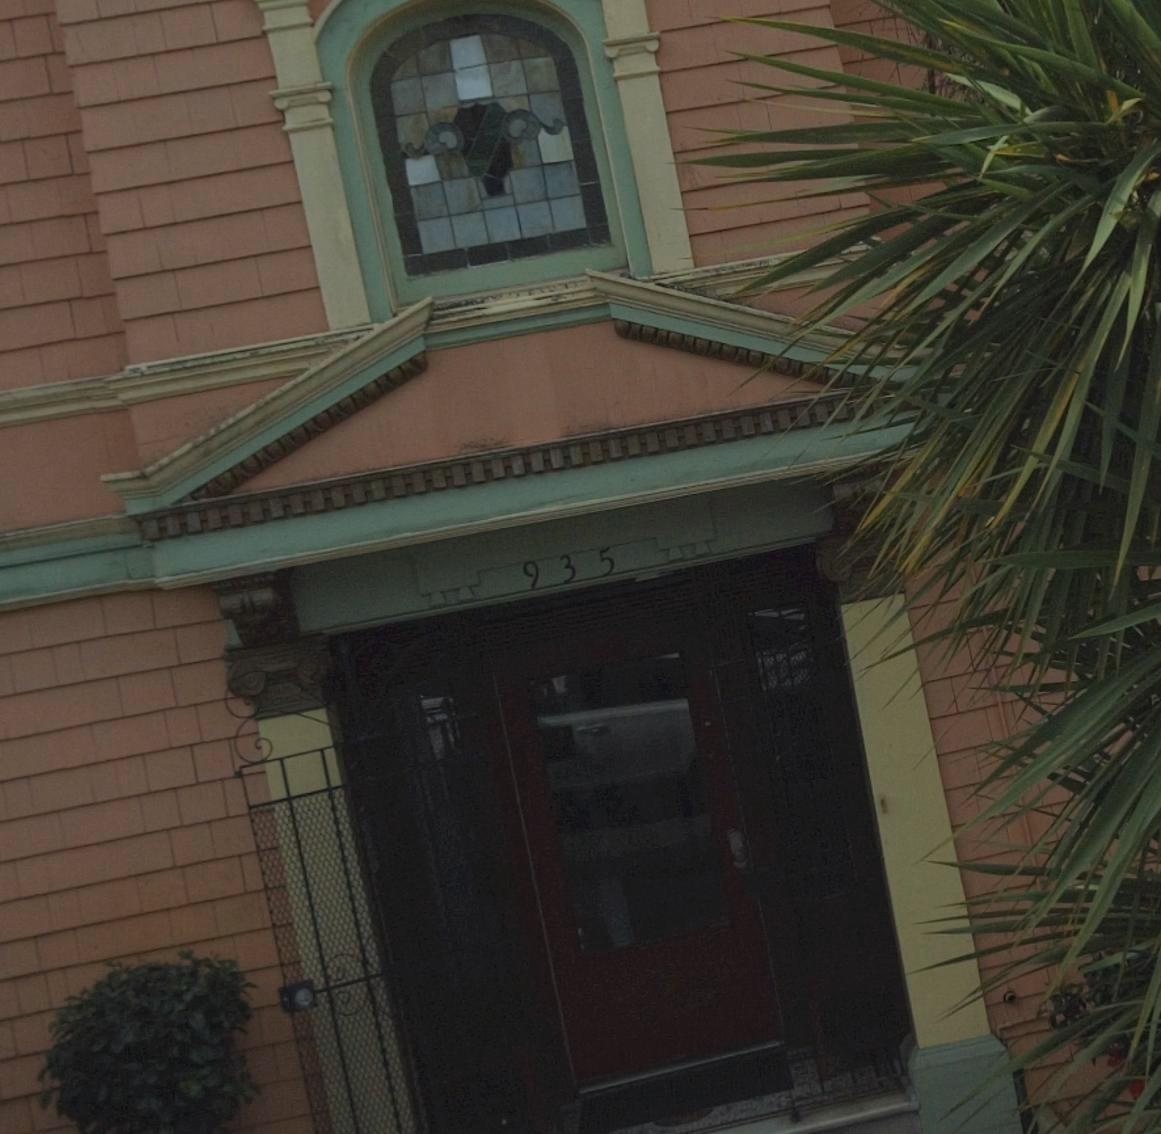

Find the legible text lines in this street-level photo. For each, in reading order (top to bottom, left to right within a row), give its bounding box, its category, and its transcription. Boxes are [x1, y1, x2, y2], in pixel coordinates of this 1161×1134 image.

[518, 542, 620, 593] StreetNumber: 935